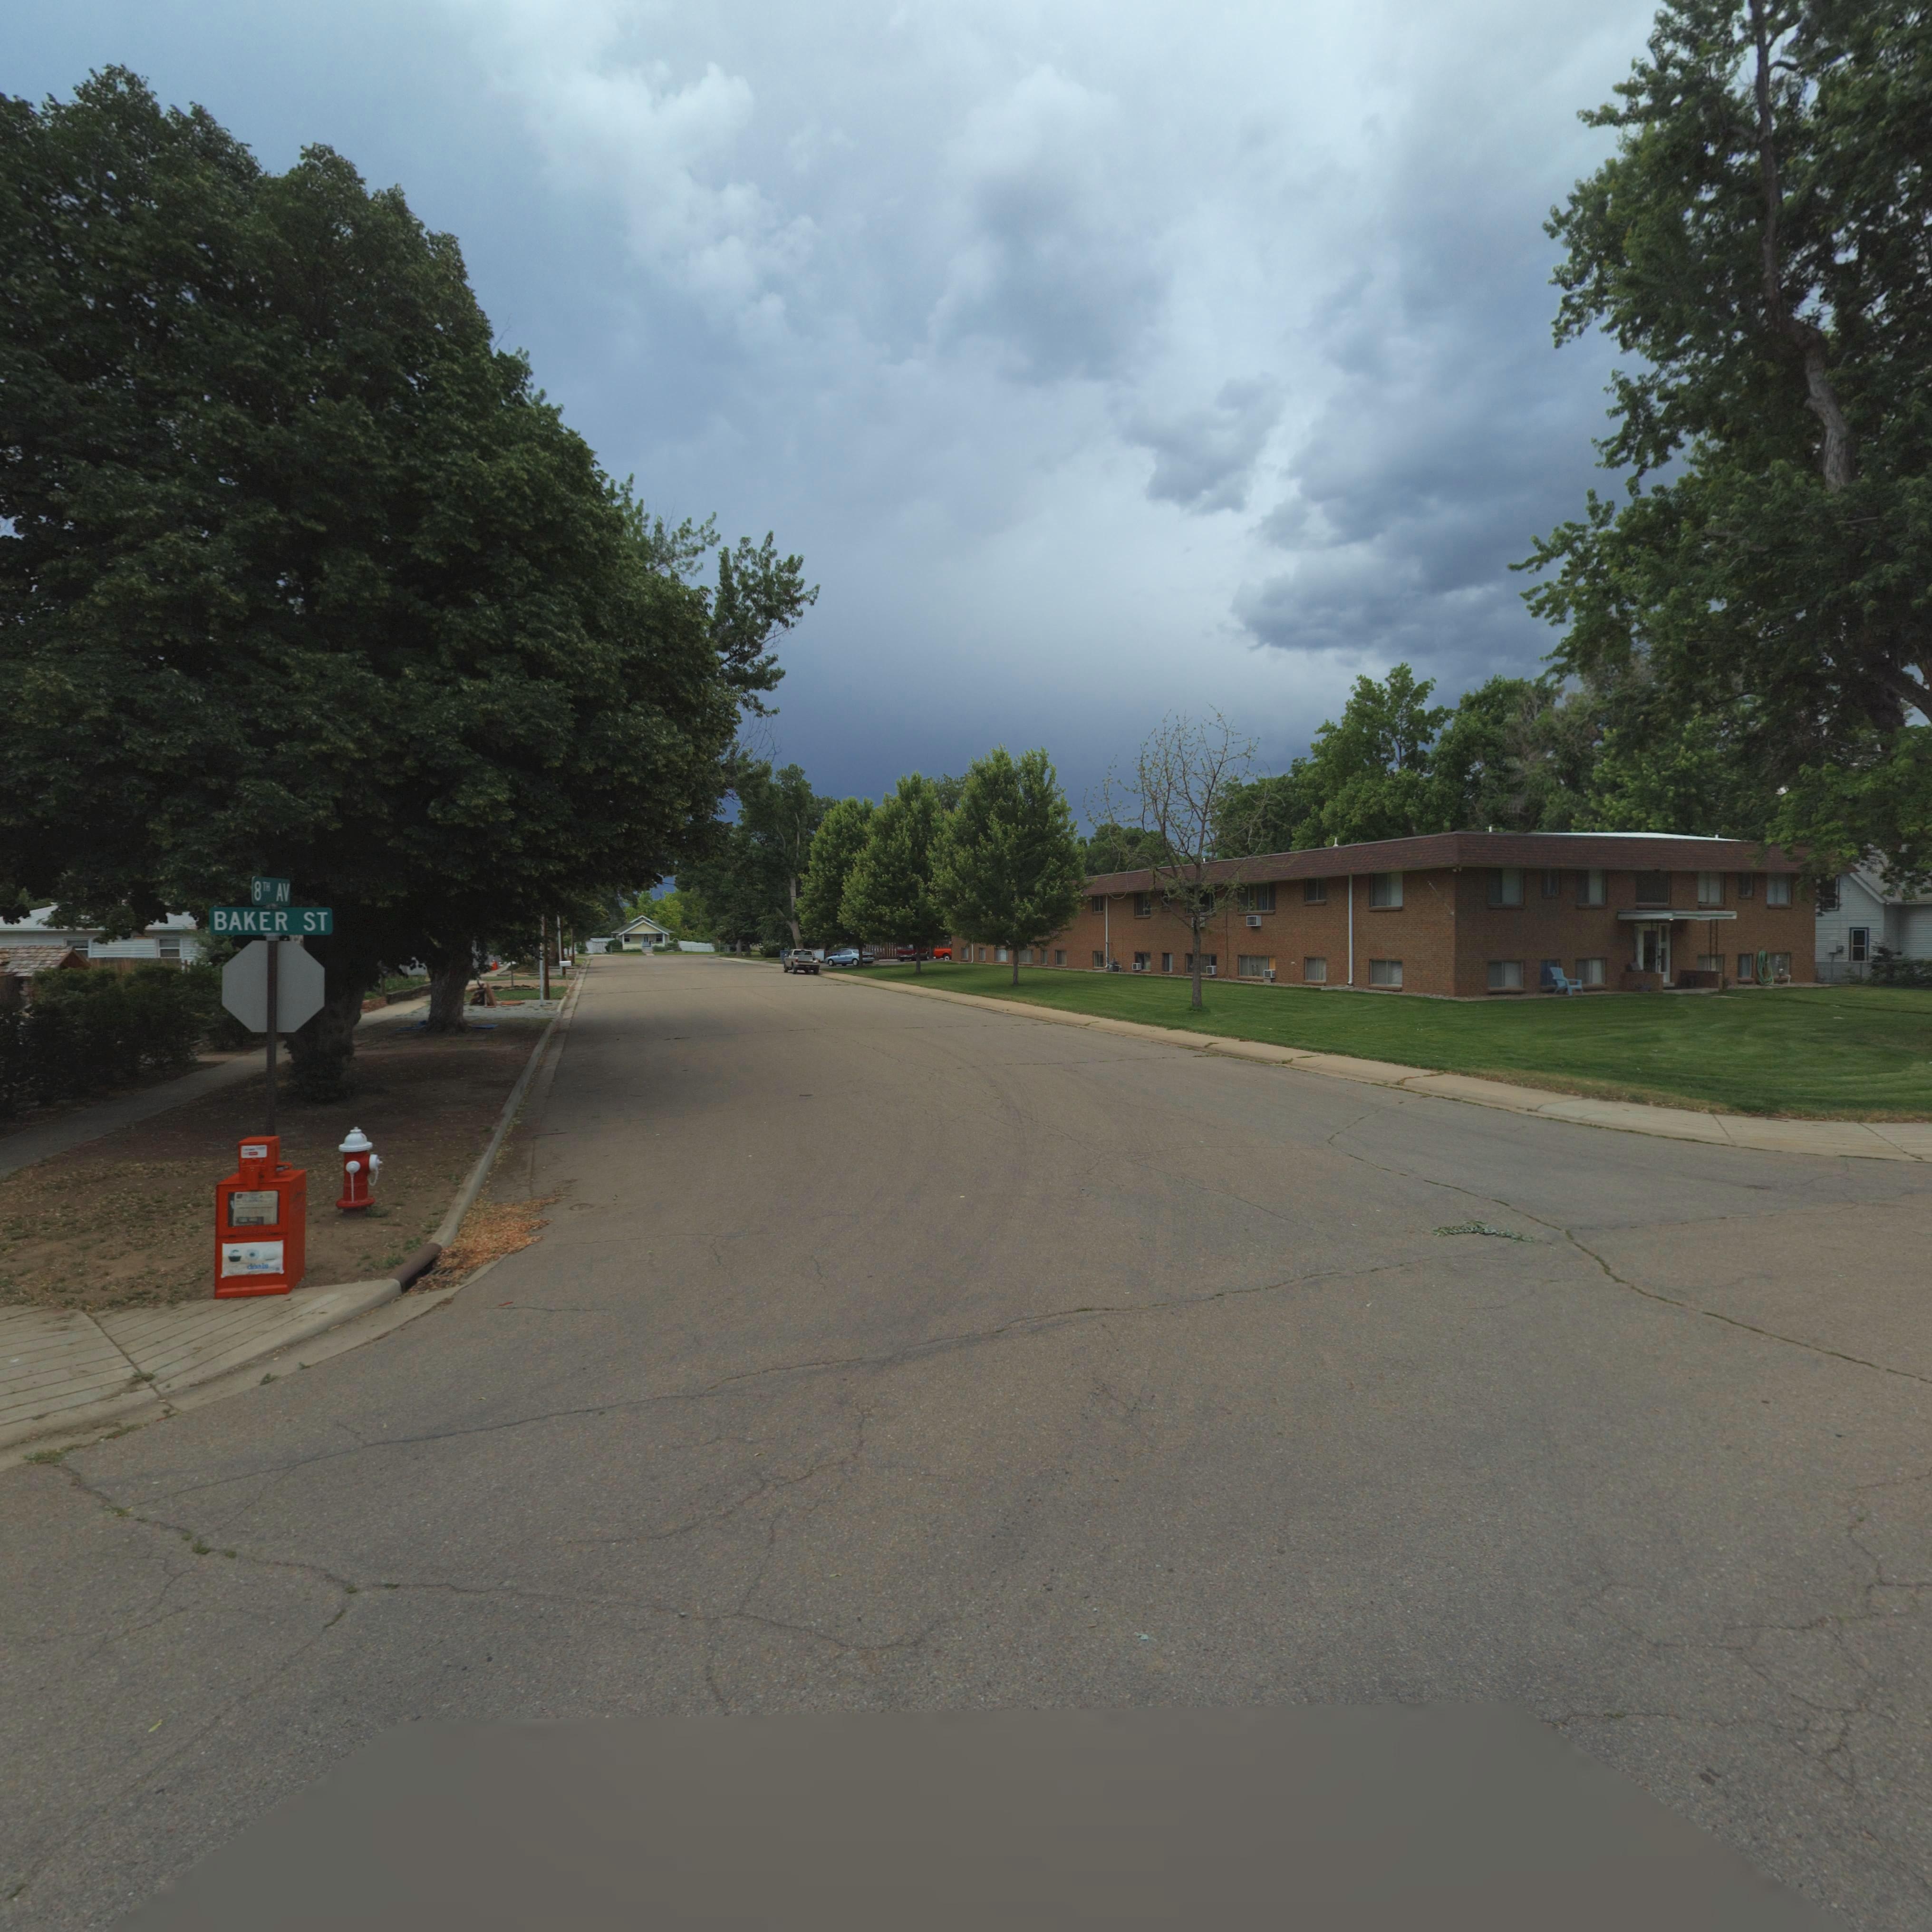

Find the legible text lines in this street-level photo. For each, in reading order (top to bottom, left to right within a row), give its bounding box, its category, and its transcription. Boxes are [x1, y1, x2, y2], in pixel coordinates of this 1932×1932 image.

[253, 879, 291, 903] StreetNumber: 8TH AV
[214, 911, 327, 930] StreetName: BAKER ST